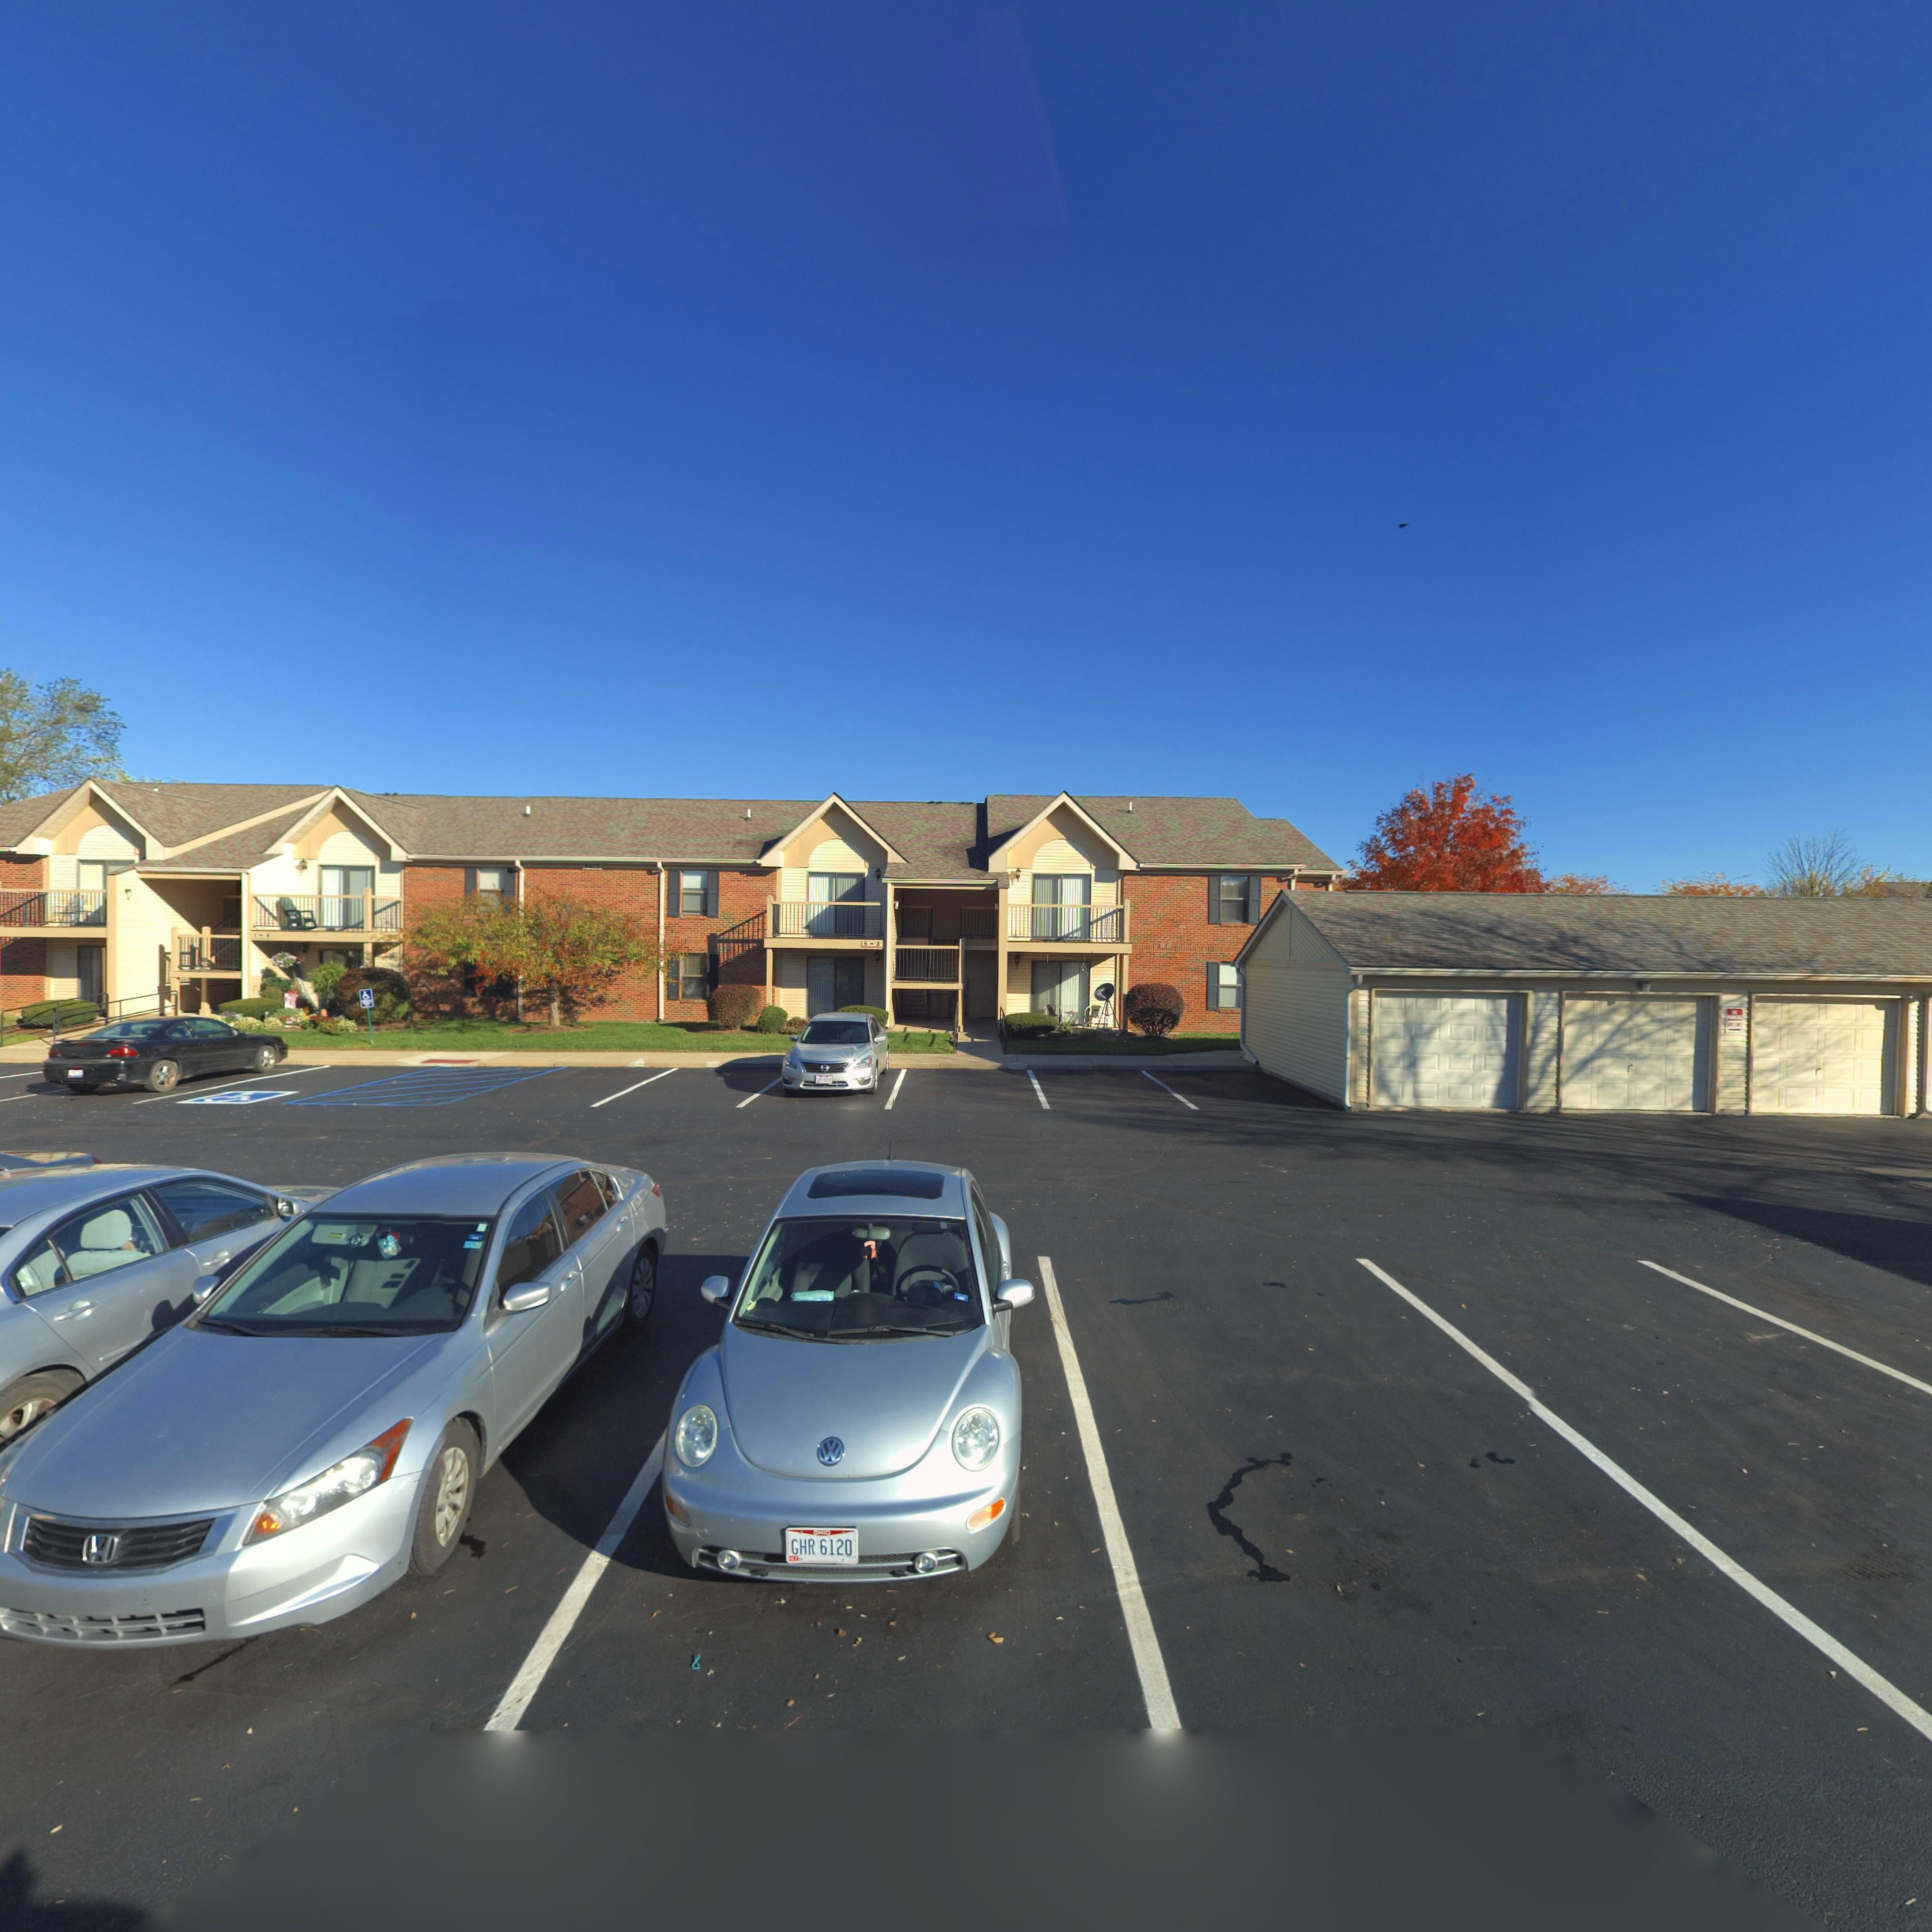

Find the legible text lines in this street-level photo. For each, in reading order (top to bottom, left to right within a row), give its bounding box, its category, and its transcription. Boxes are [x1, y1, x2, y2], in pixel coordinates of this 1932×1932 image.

[252, 933, 271, 938] StreetNumber: 1-4
[863, 941, 881, 947] StreetNumber: 5-8